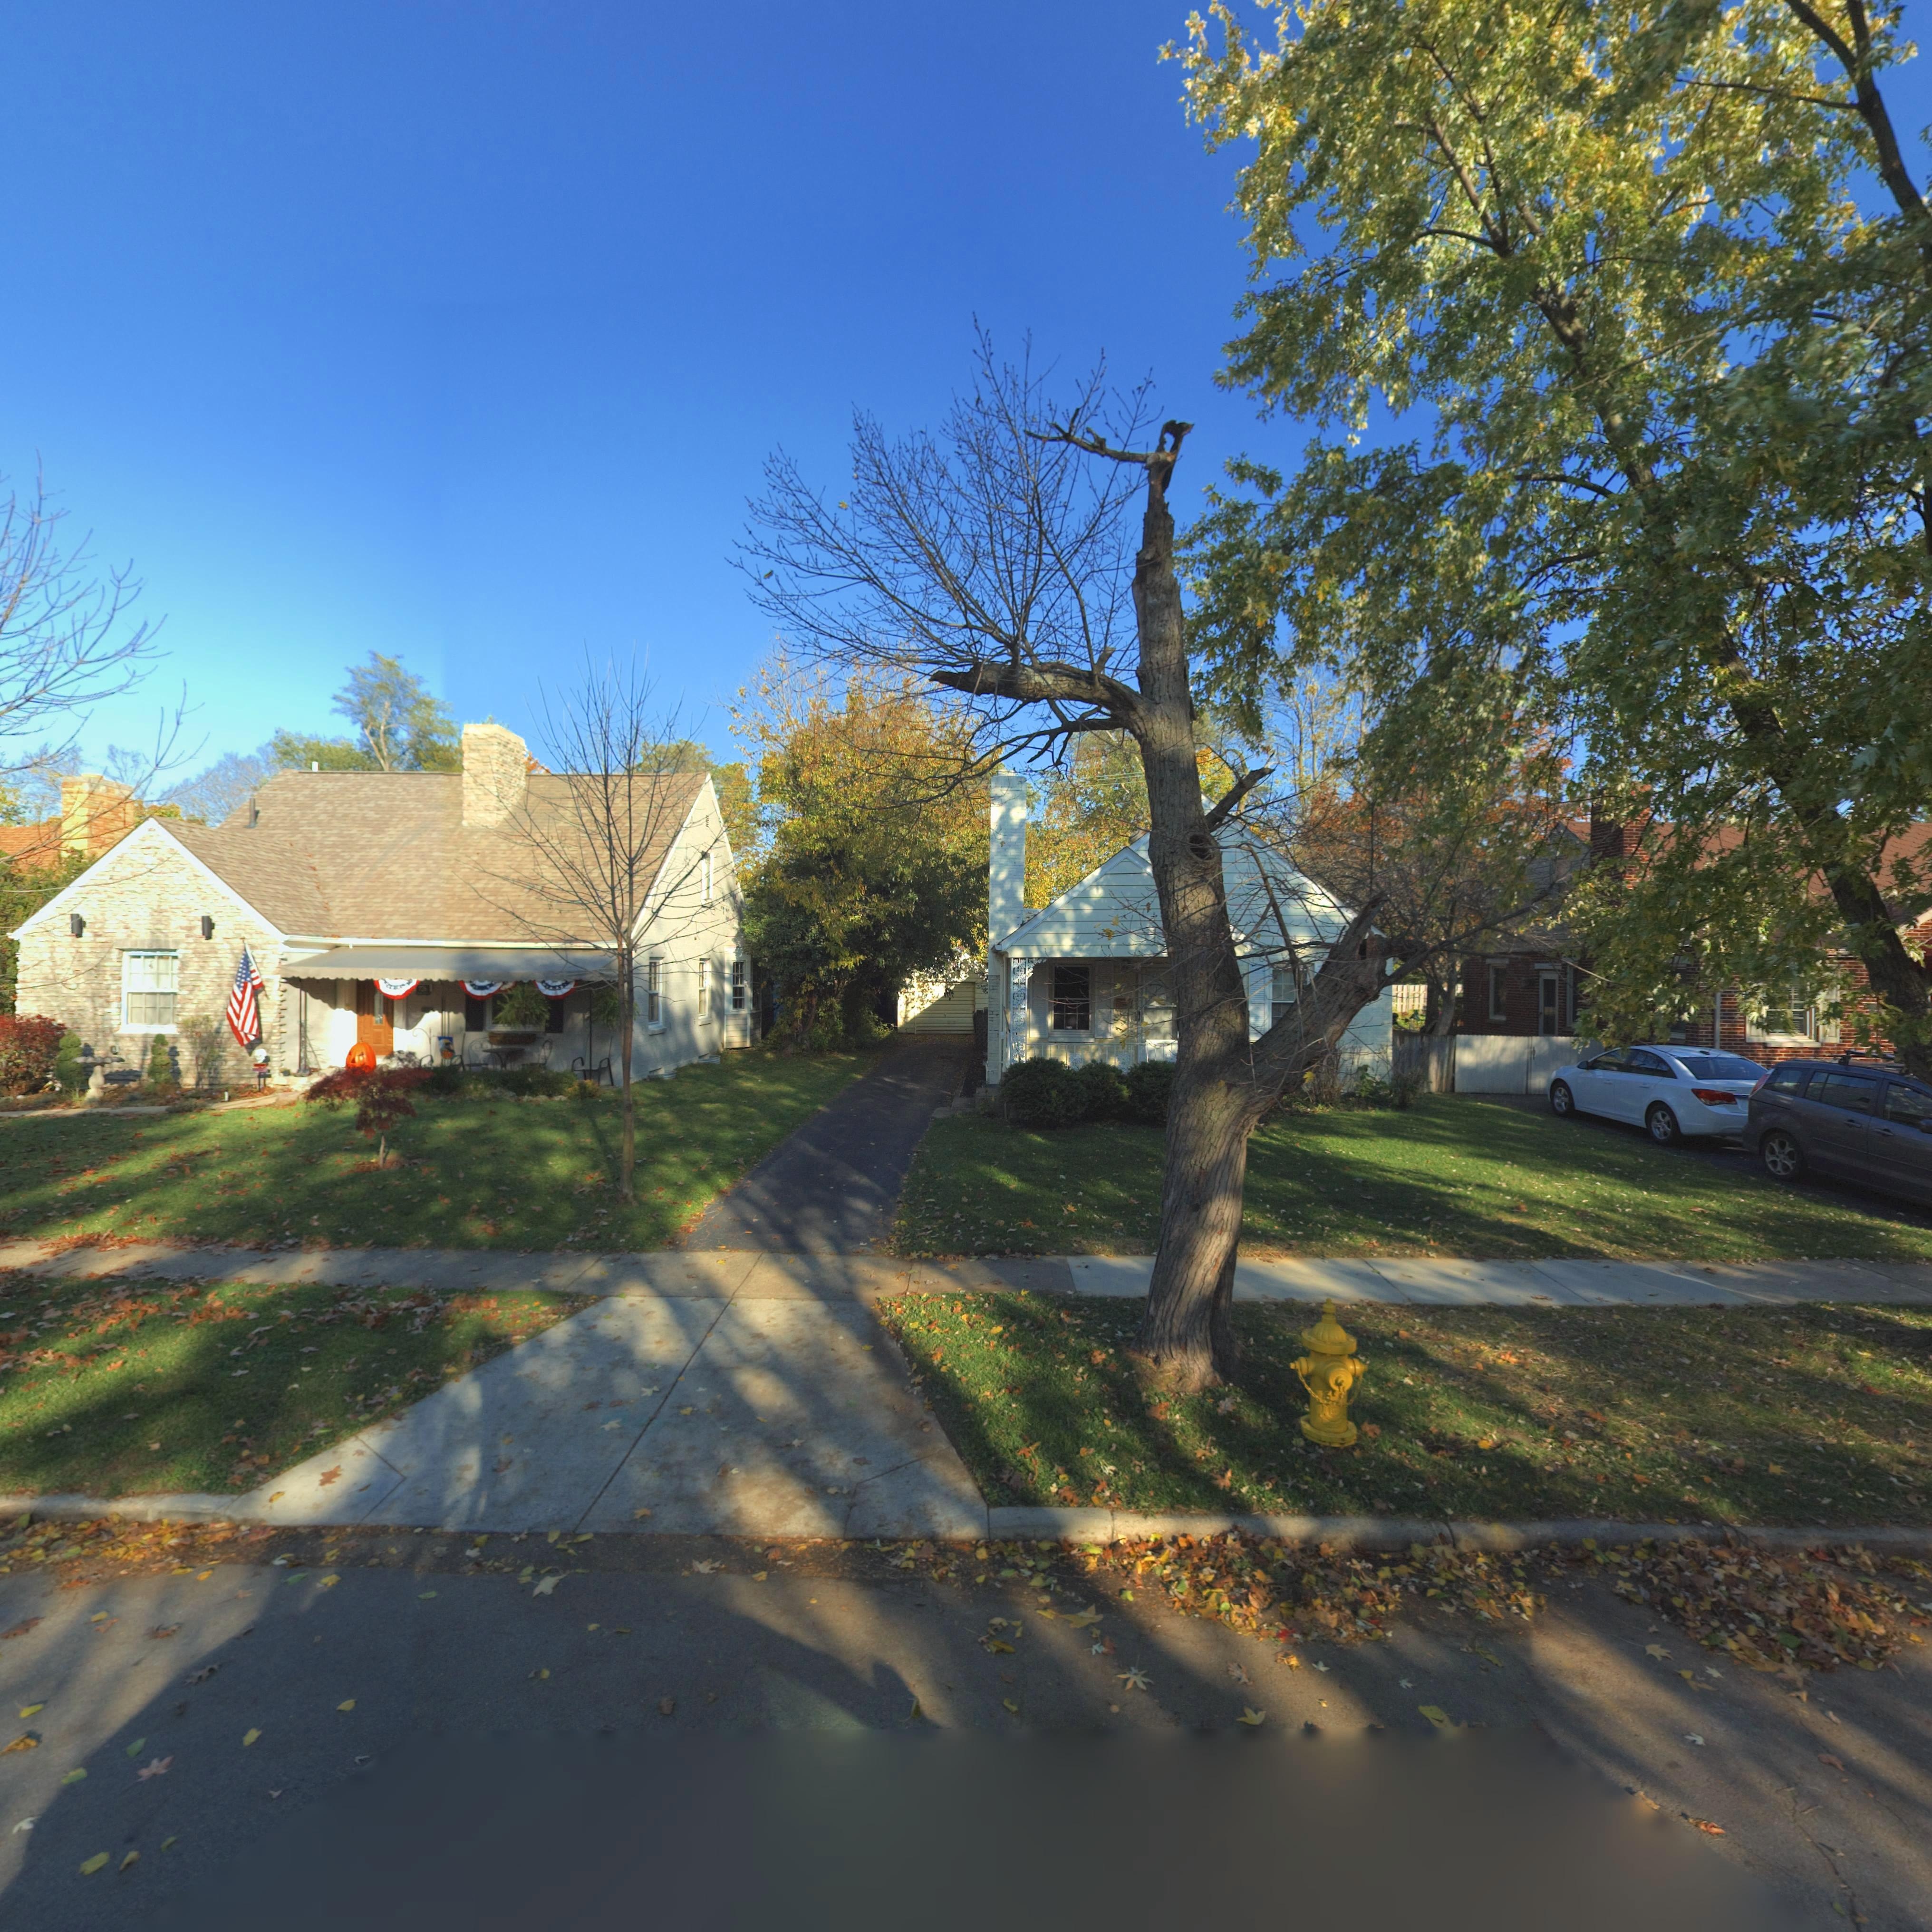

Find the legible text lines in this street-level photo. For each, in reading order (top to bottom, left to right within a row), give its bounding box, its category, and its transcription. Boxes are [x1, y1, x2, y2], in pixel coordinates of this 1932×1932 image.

[417, 985, 428, 992] StreetNumber: 726